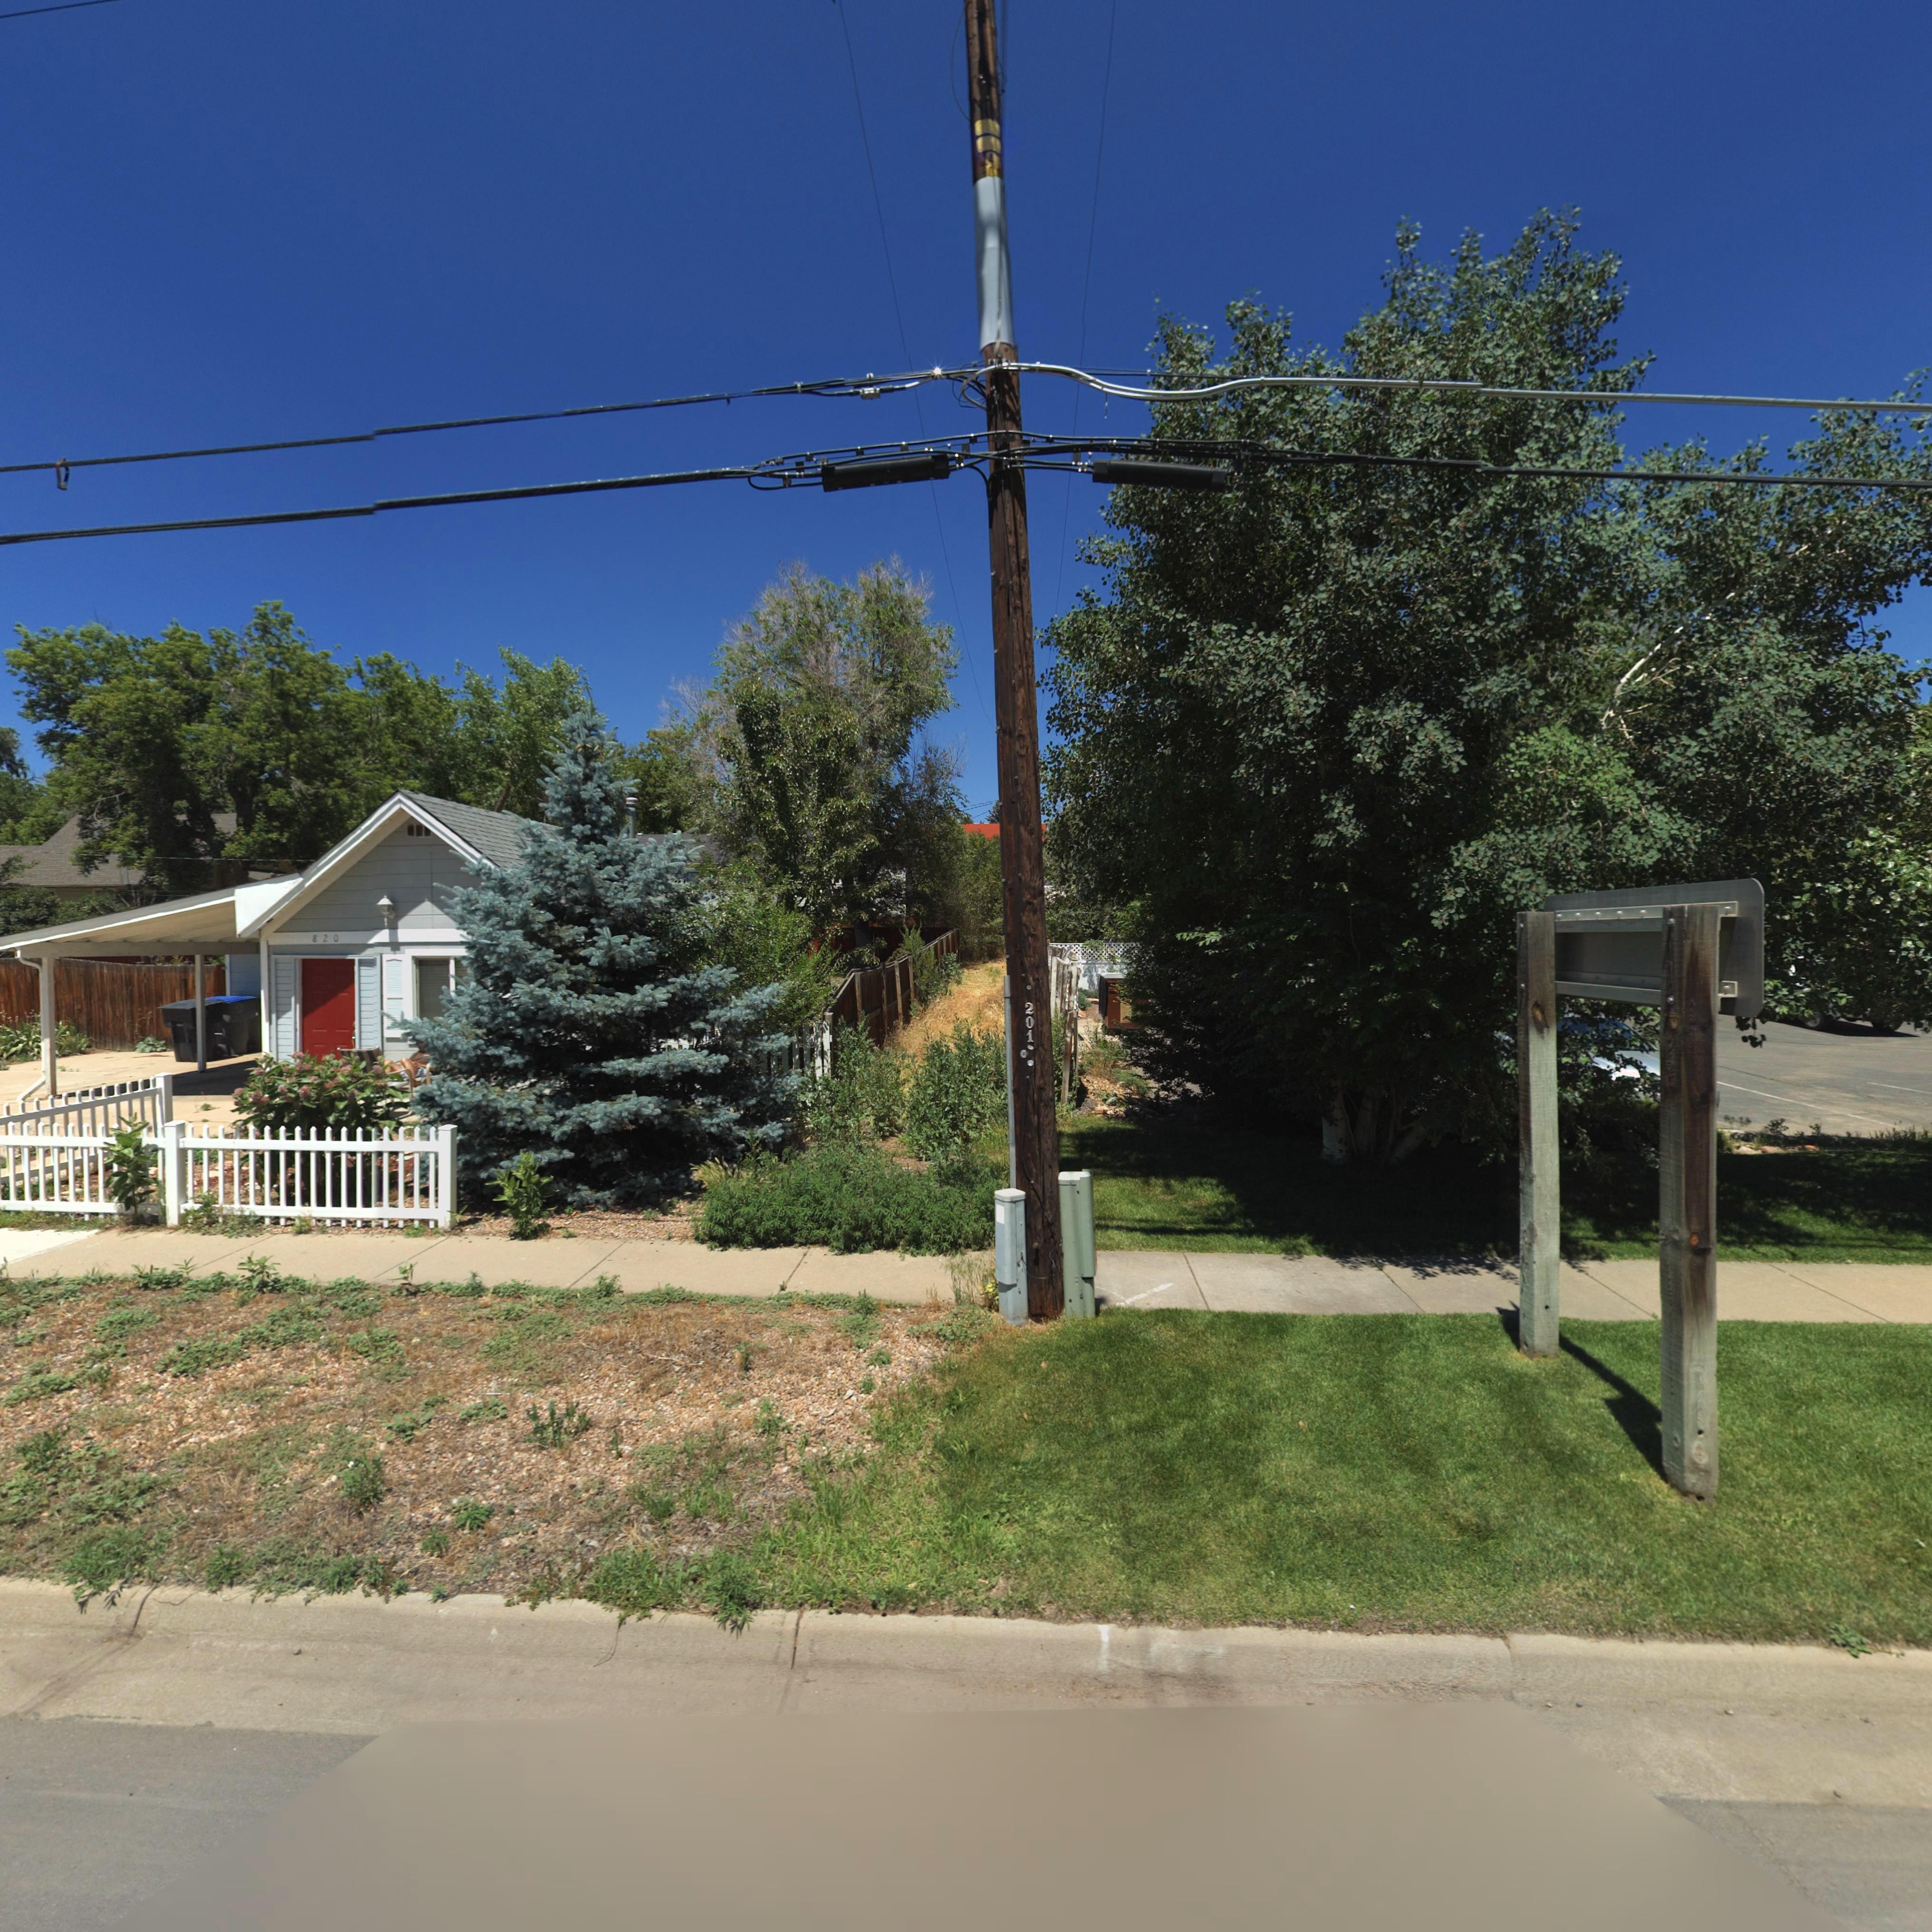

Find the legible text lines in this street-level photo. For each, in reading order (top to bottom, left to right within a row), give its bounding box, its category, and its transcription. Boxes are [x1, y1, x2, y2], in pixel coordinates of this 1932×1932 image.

[312, 934, 339, 943] StreetNumber: 820
[1024, 1000, 1035, 1043] StreetNumber: 201